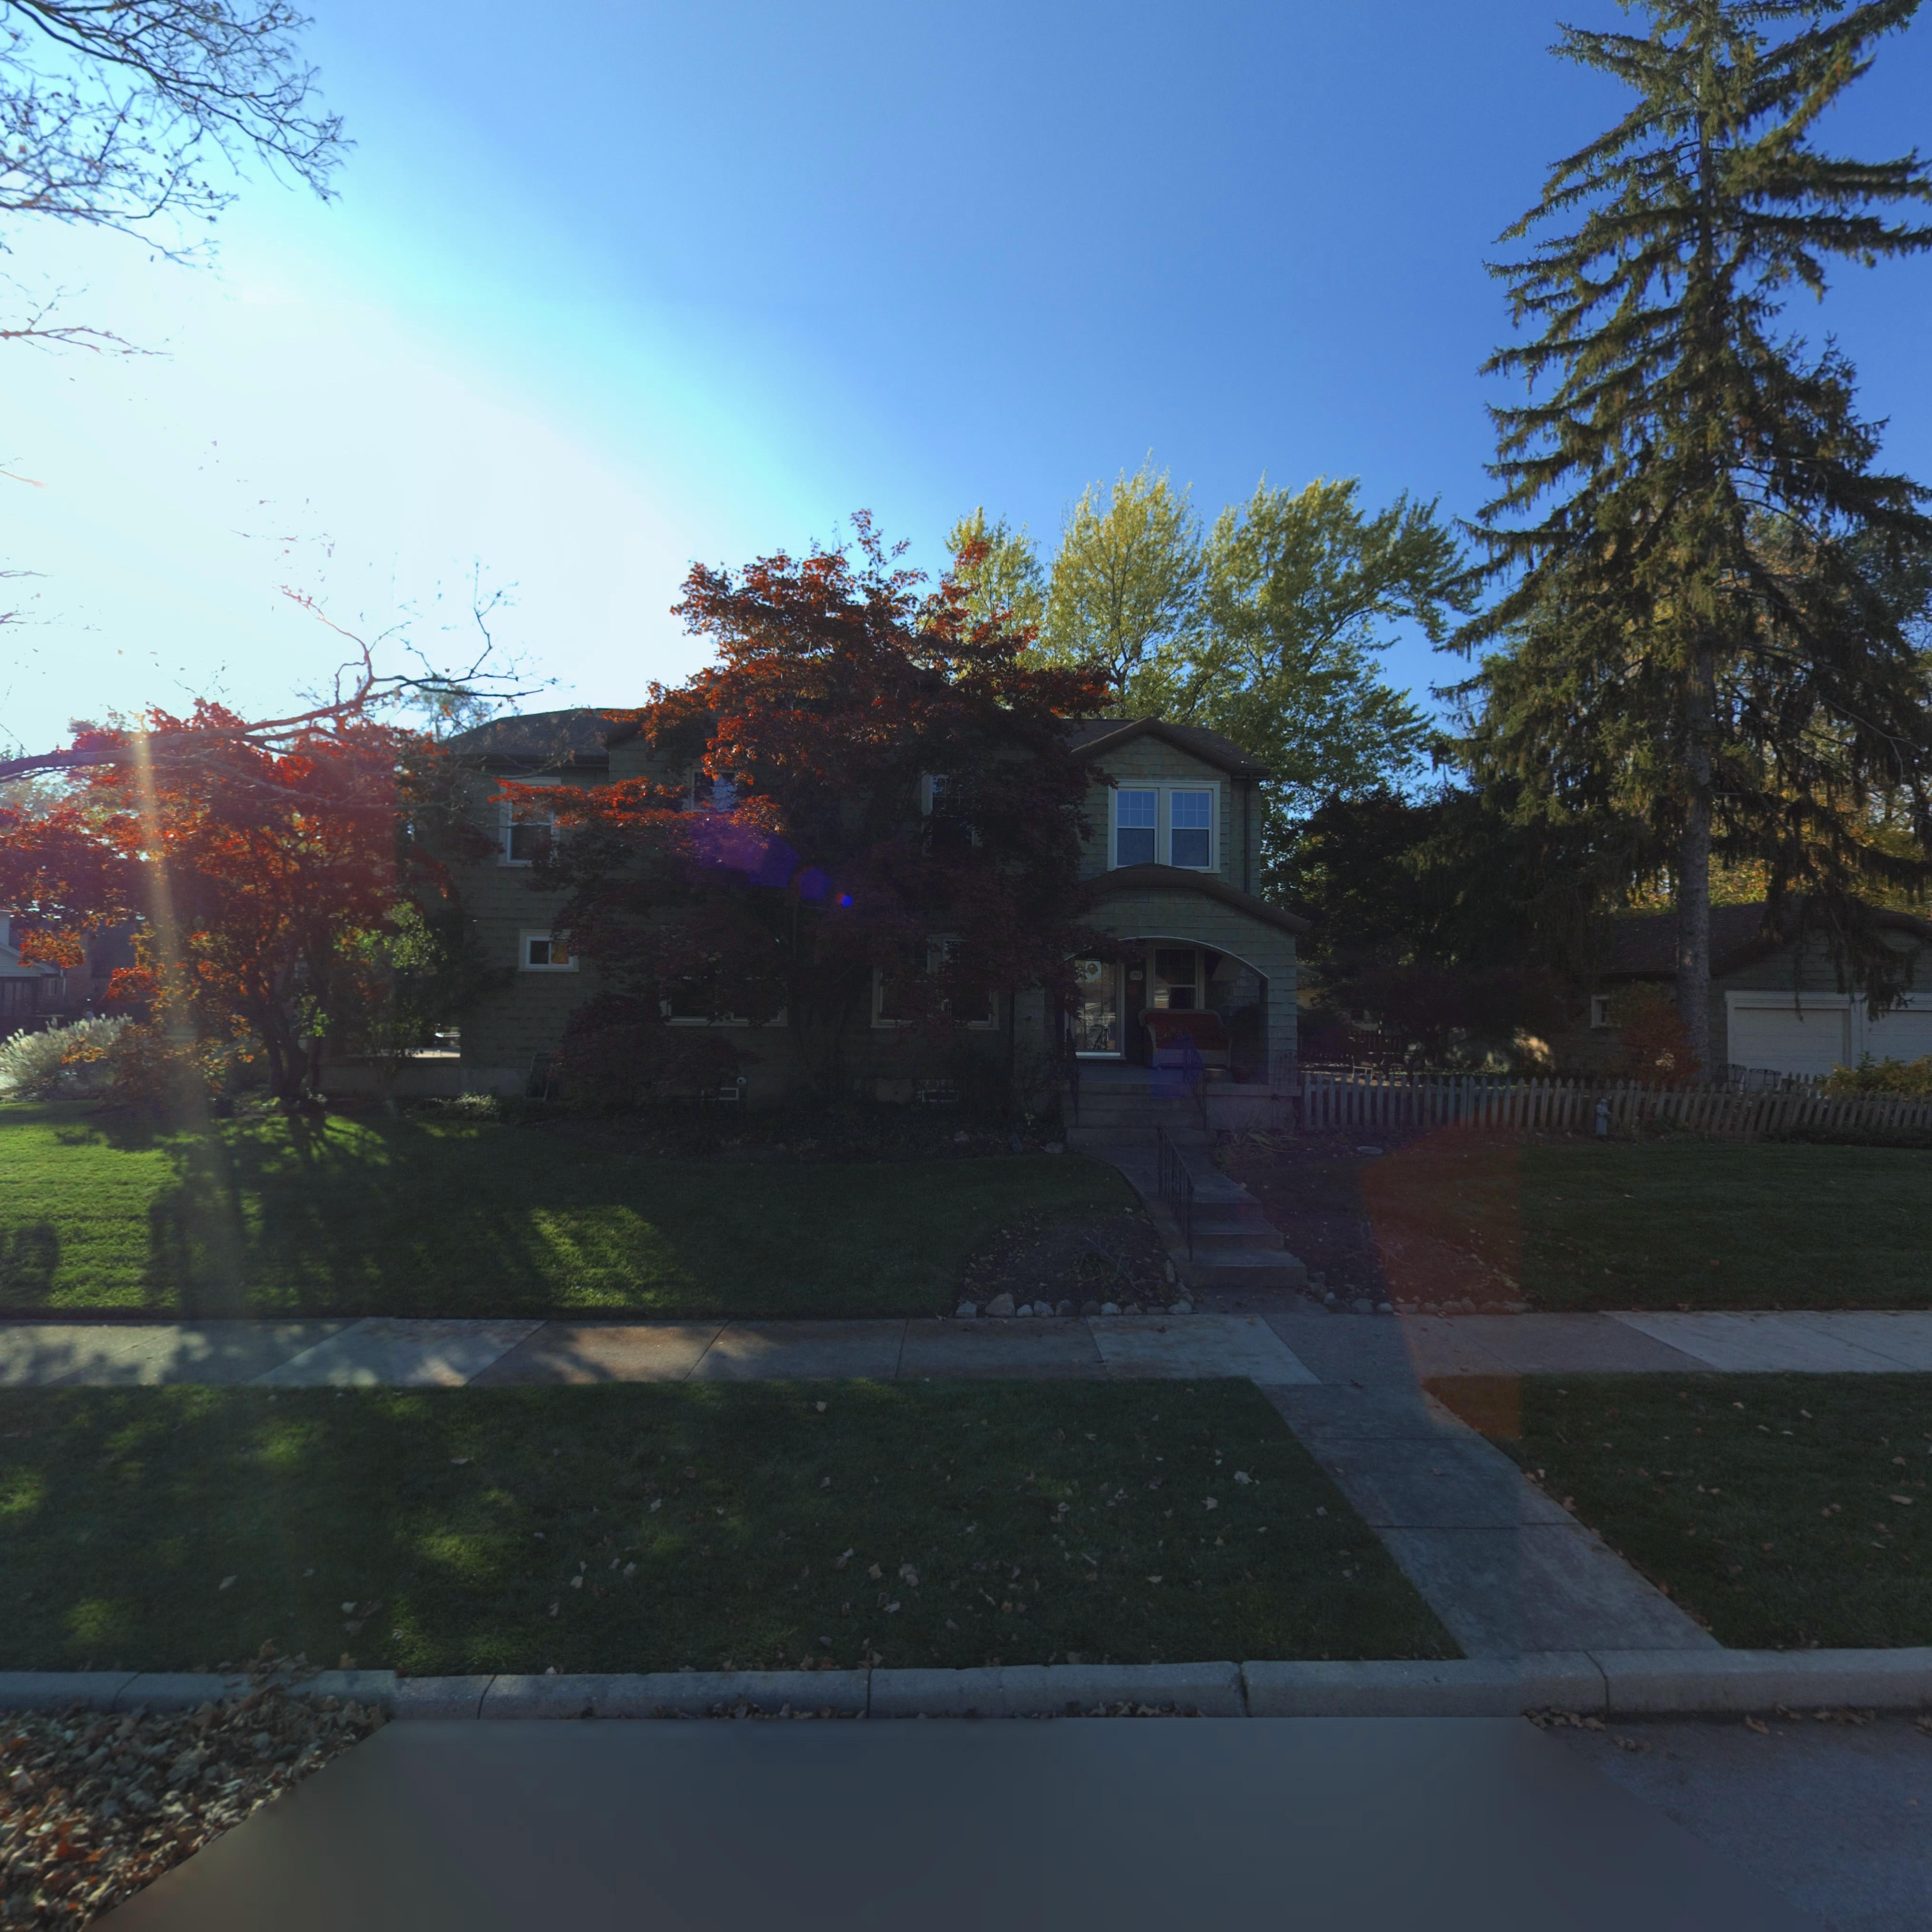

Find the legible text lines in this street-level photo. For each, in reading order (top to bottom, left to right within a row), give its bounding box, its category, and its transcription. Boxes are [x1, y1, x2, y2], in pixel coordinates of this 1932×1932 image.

[1130, 972, 1143, 979] StreetNumber: 1717